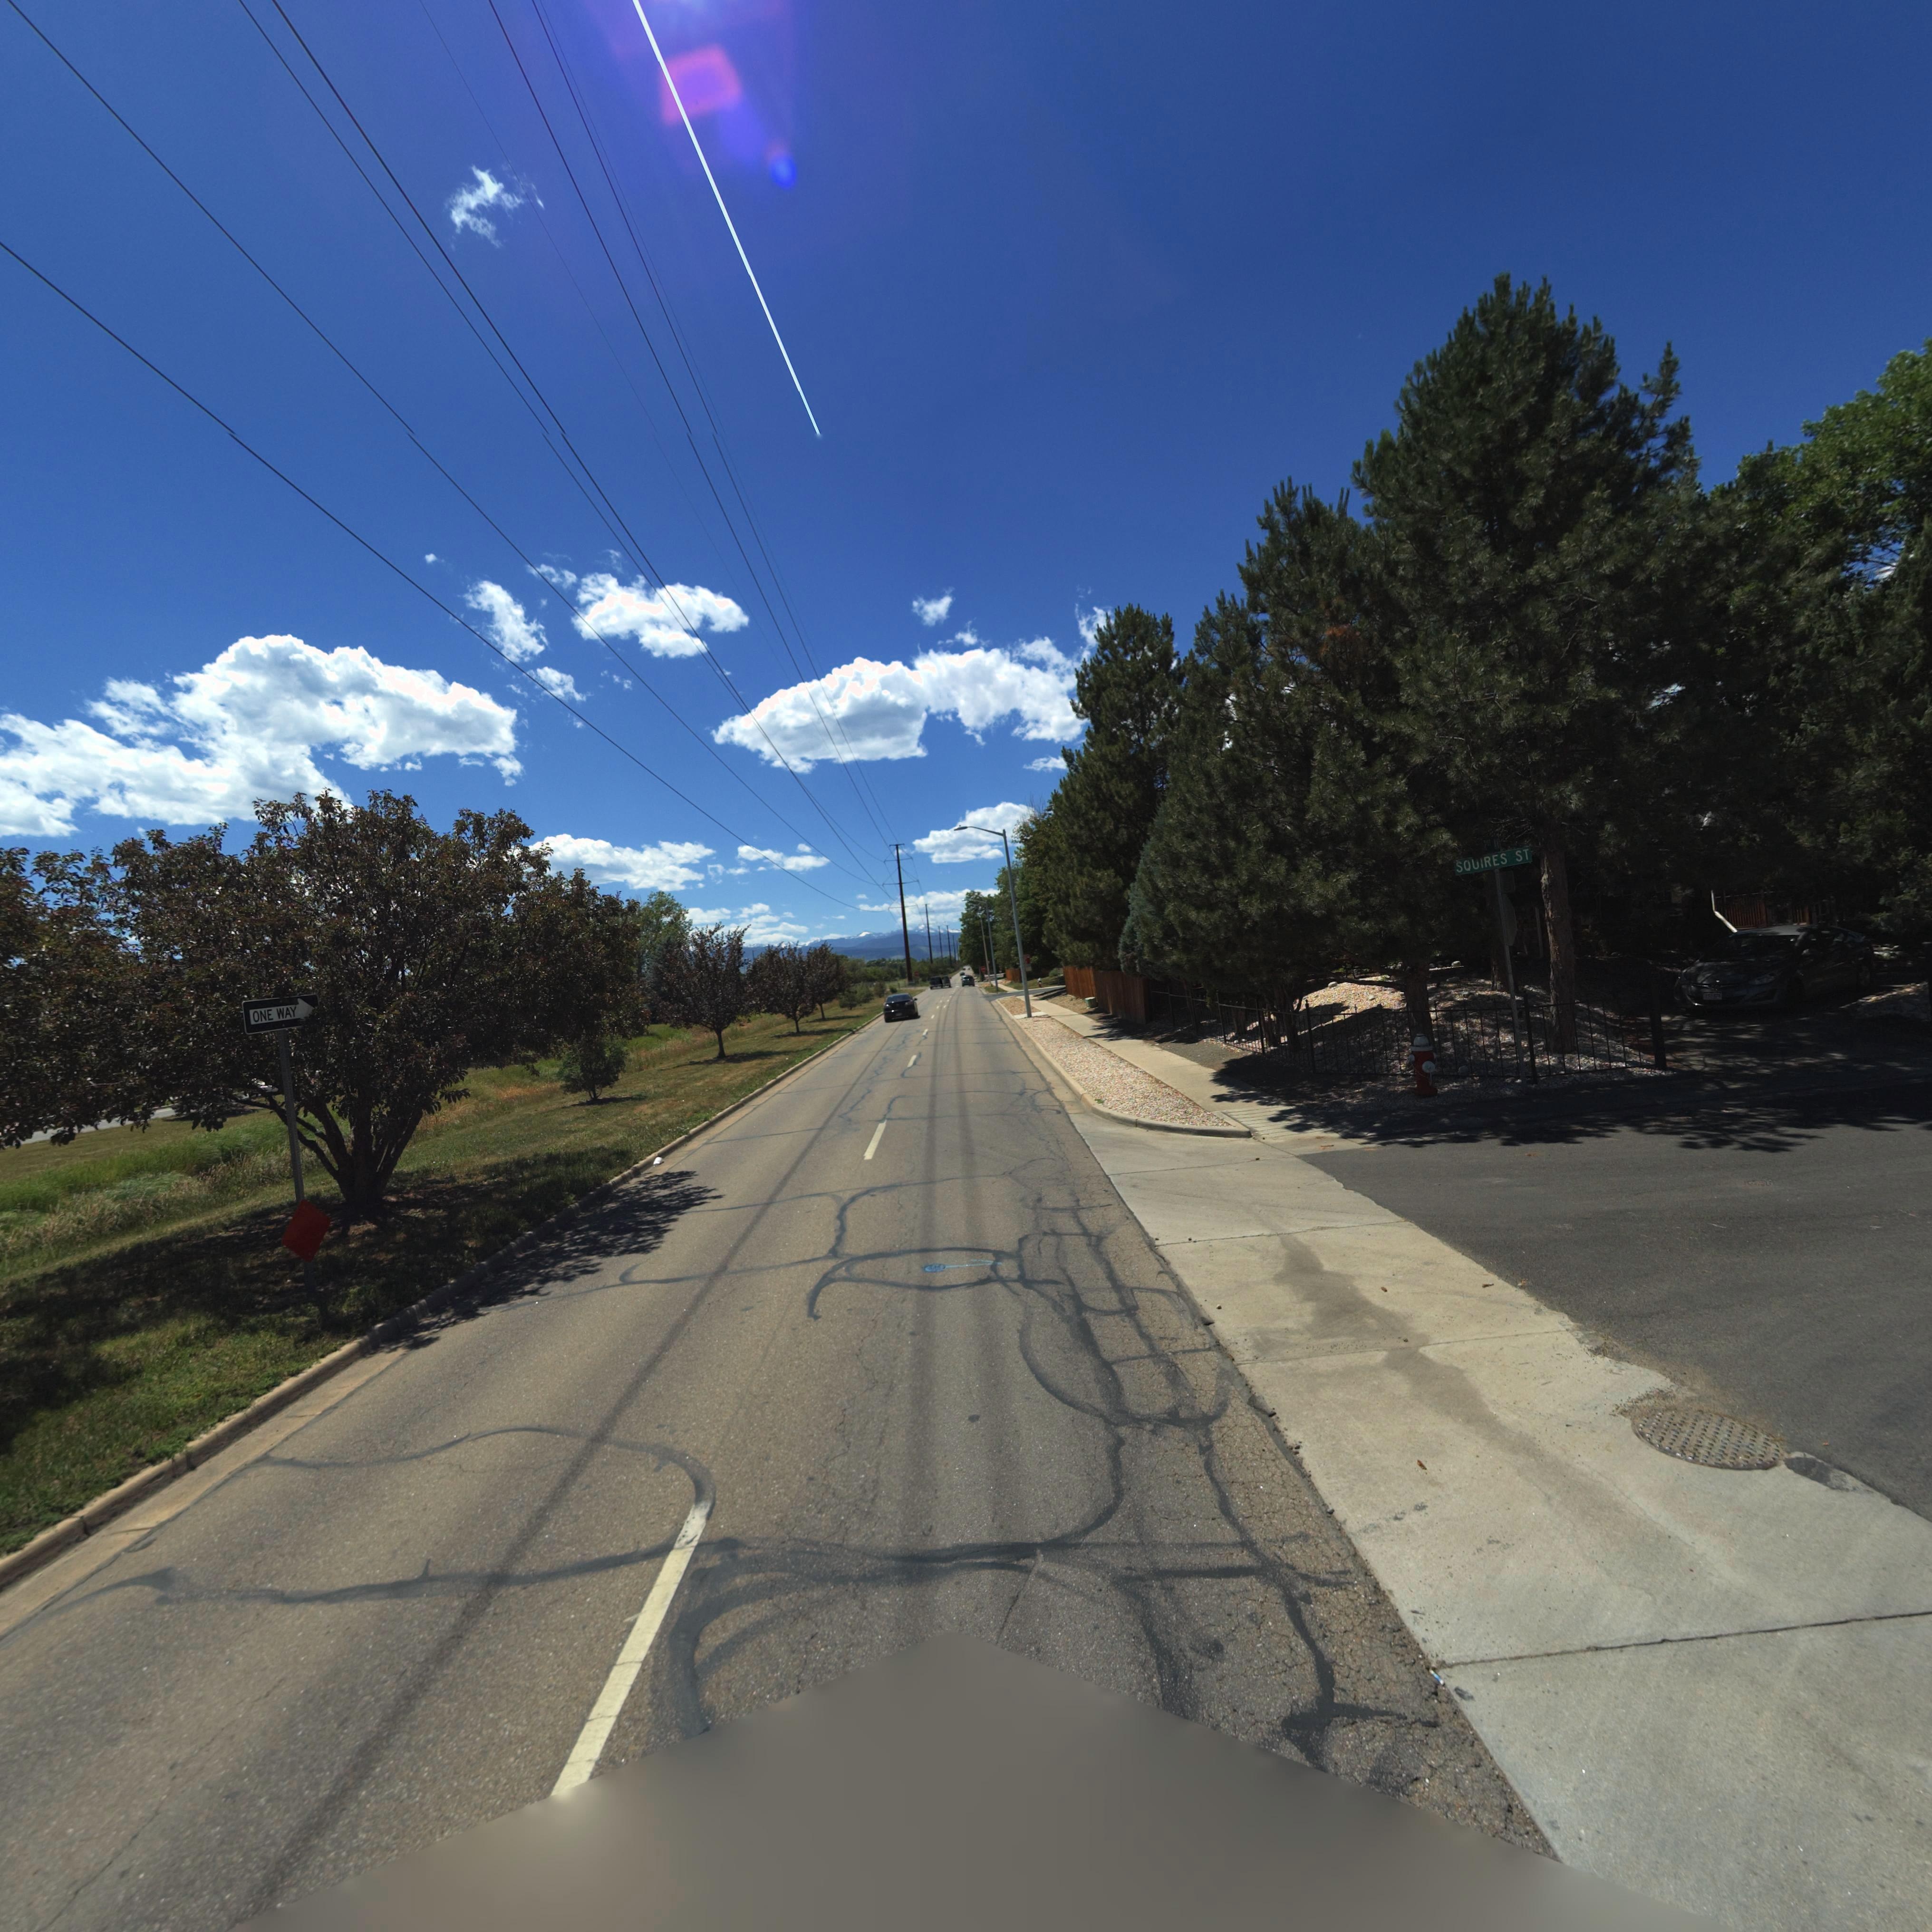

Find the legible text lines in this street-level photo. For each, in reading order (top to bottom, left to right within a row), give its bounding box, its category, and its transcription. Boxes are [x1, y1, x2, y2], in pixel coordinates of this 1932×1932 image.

[1455, 848, 1530, 873] StreetName: SQ**RES ST